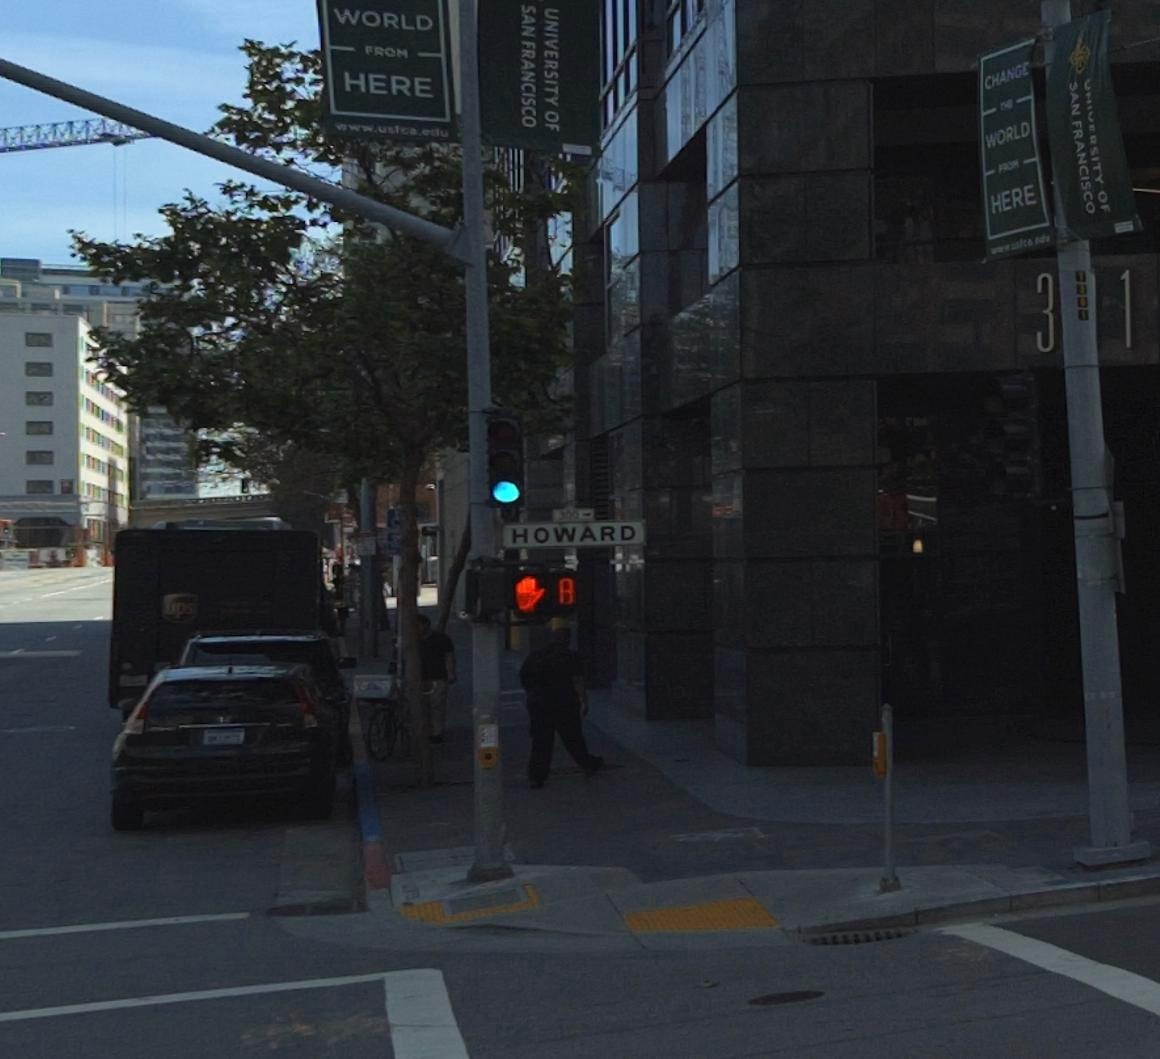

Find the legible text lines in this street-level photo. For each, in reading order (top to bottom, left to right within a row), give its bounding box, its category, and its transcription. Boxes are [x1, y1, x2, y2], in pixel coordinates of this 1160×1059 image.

[329, 7, 433, 34] None: WORLD
[363, 43, 409, 61] None: FROM
[341, 68, 435, 100] None: HERE
[519, 2, 538, 132] BusinessName: SAN FRANCISCO
[542, 7, 561, 133] BusinessName: UNIVERSITY OF
[983, 59, 1030, 93] None: CHANGE
[998, 96, 1014, 113] None: THE
[333, 119, 451, 139] None: www.usfca.edu
[983, 119, 1031, 151] None: WORLD
[1067, 79, 1096, 214] BusinessName: SAN FRANCISCO
[1081, 76, 1114, 212] BusinessName: UNIVE**SITU OF
[997, 156, 1020, 177] None: FROM
[989, 182, 1038, 216] None: HERE
[1034, 271, 1056, 355] None: 3
[1075, 269, 1089, 322] None: 1381
[1119, 268, 1133, 349] None: 1
[557, 508, 592, 521] StreetNumberRange: 300->
[510, 522, 636, 546] StreetName: HOWARD
[558, 577, 576, 608] None: 8
[164, 601, 194, 618] BusinessName: ups